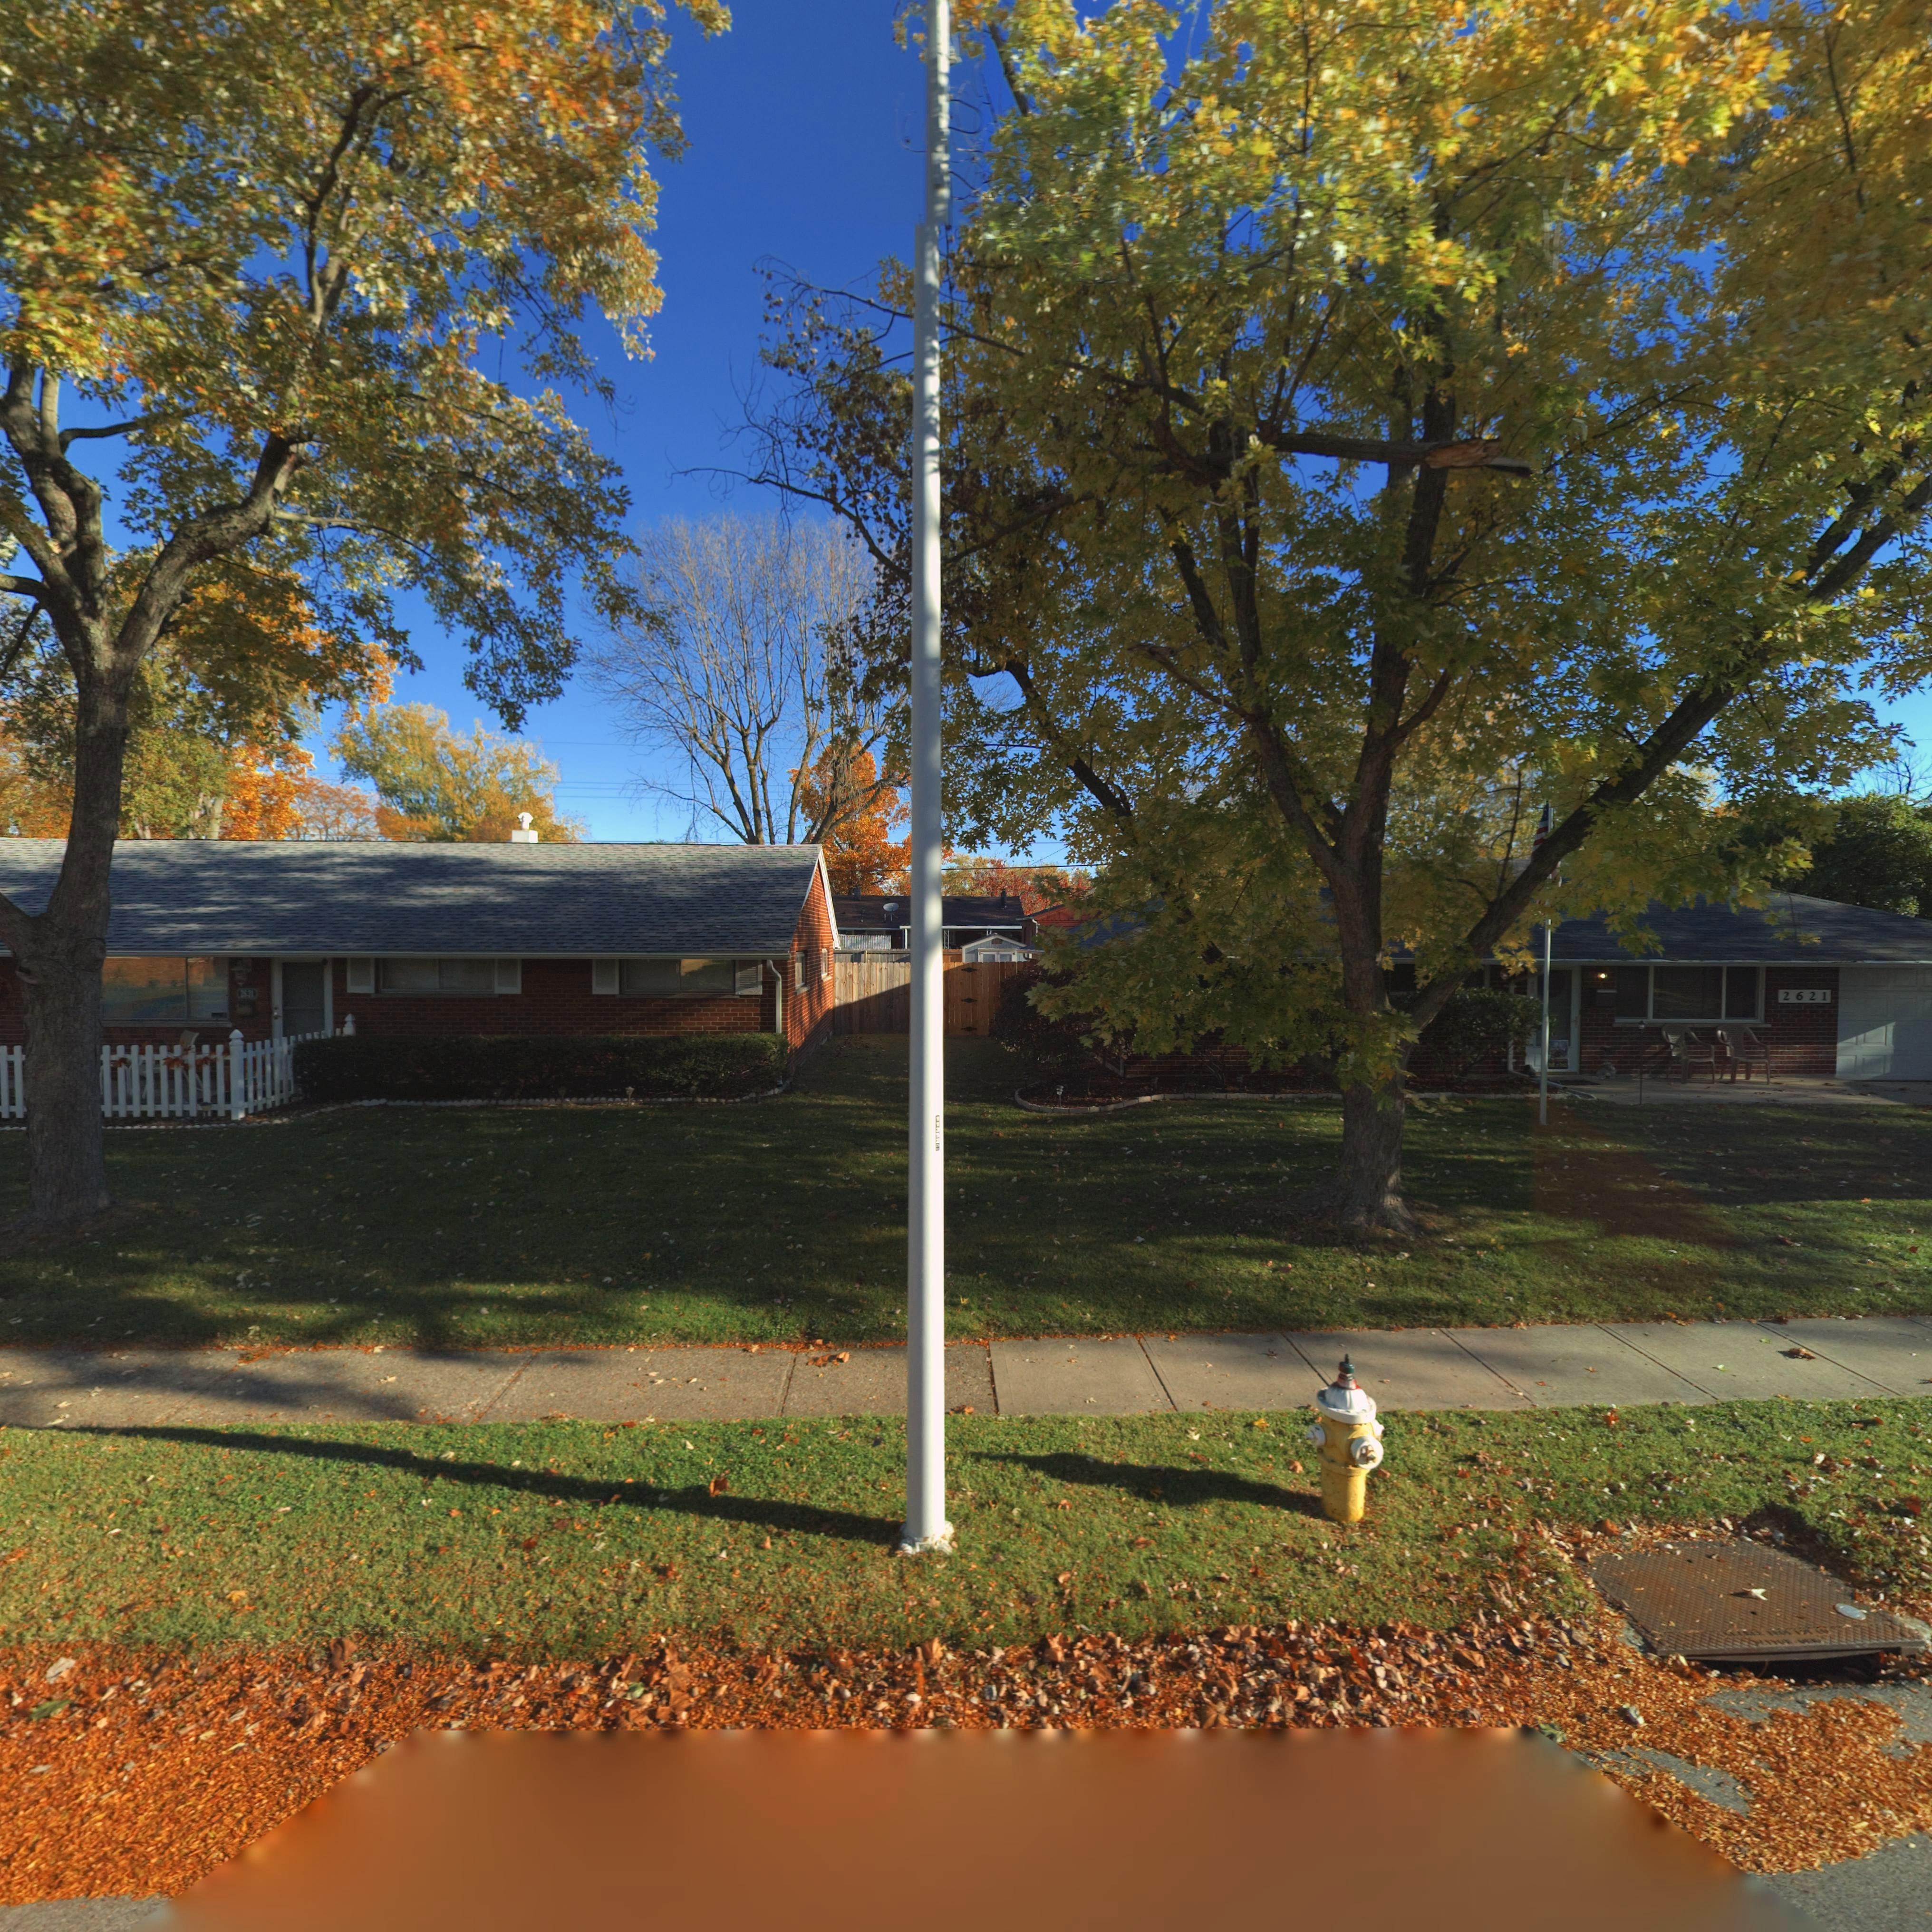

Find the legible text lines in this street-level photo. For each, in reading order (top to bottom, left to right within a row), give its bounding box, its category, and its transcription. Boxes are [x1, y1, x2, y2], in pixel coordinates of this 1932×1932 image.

[1782, 990, 1828, 1002] StreetNumber: 2621